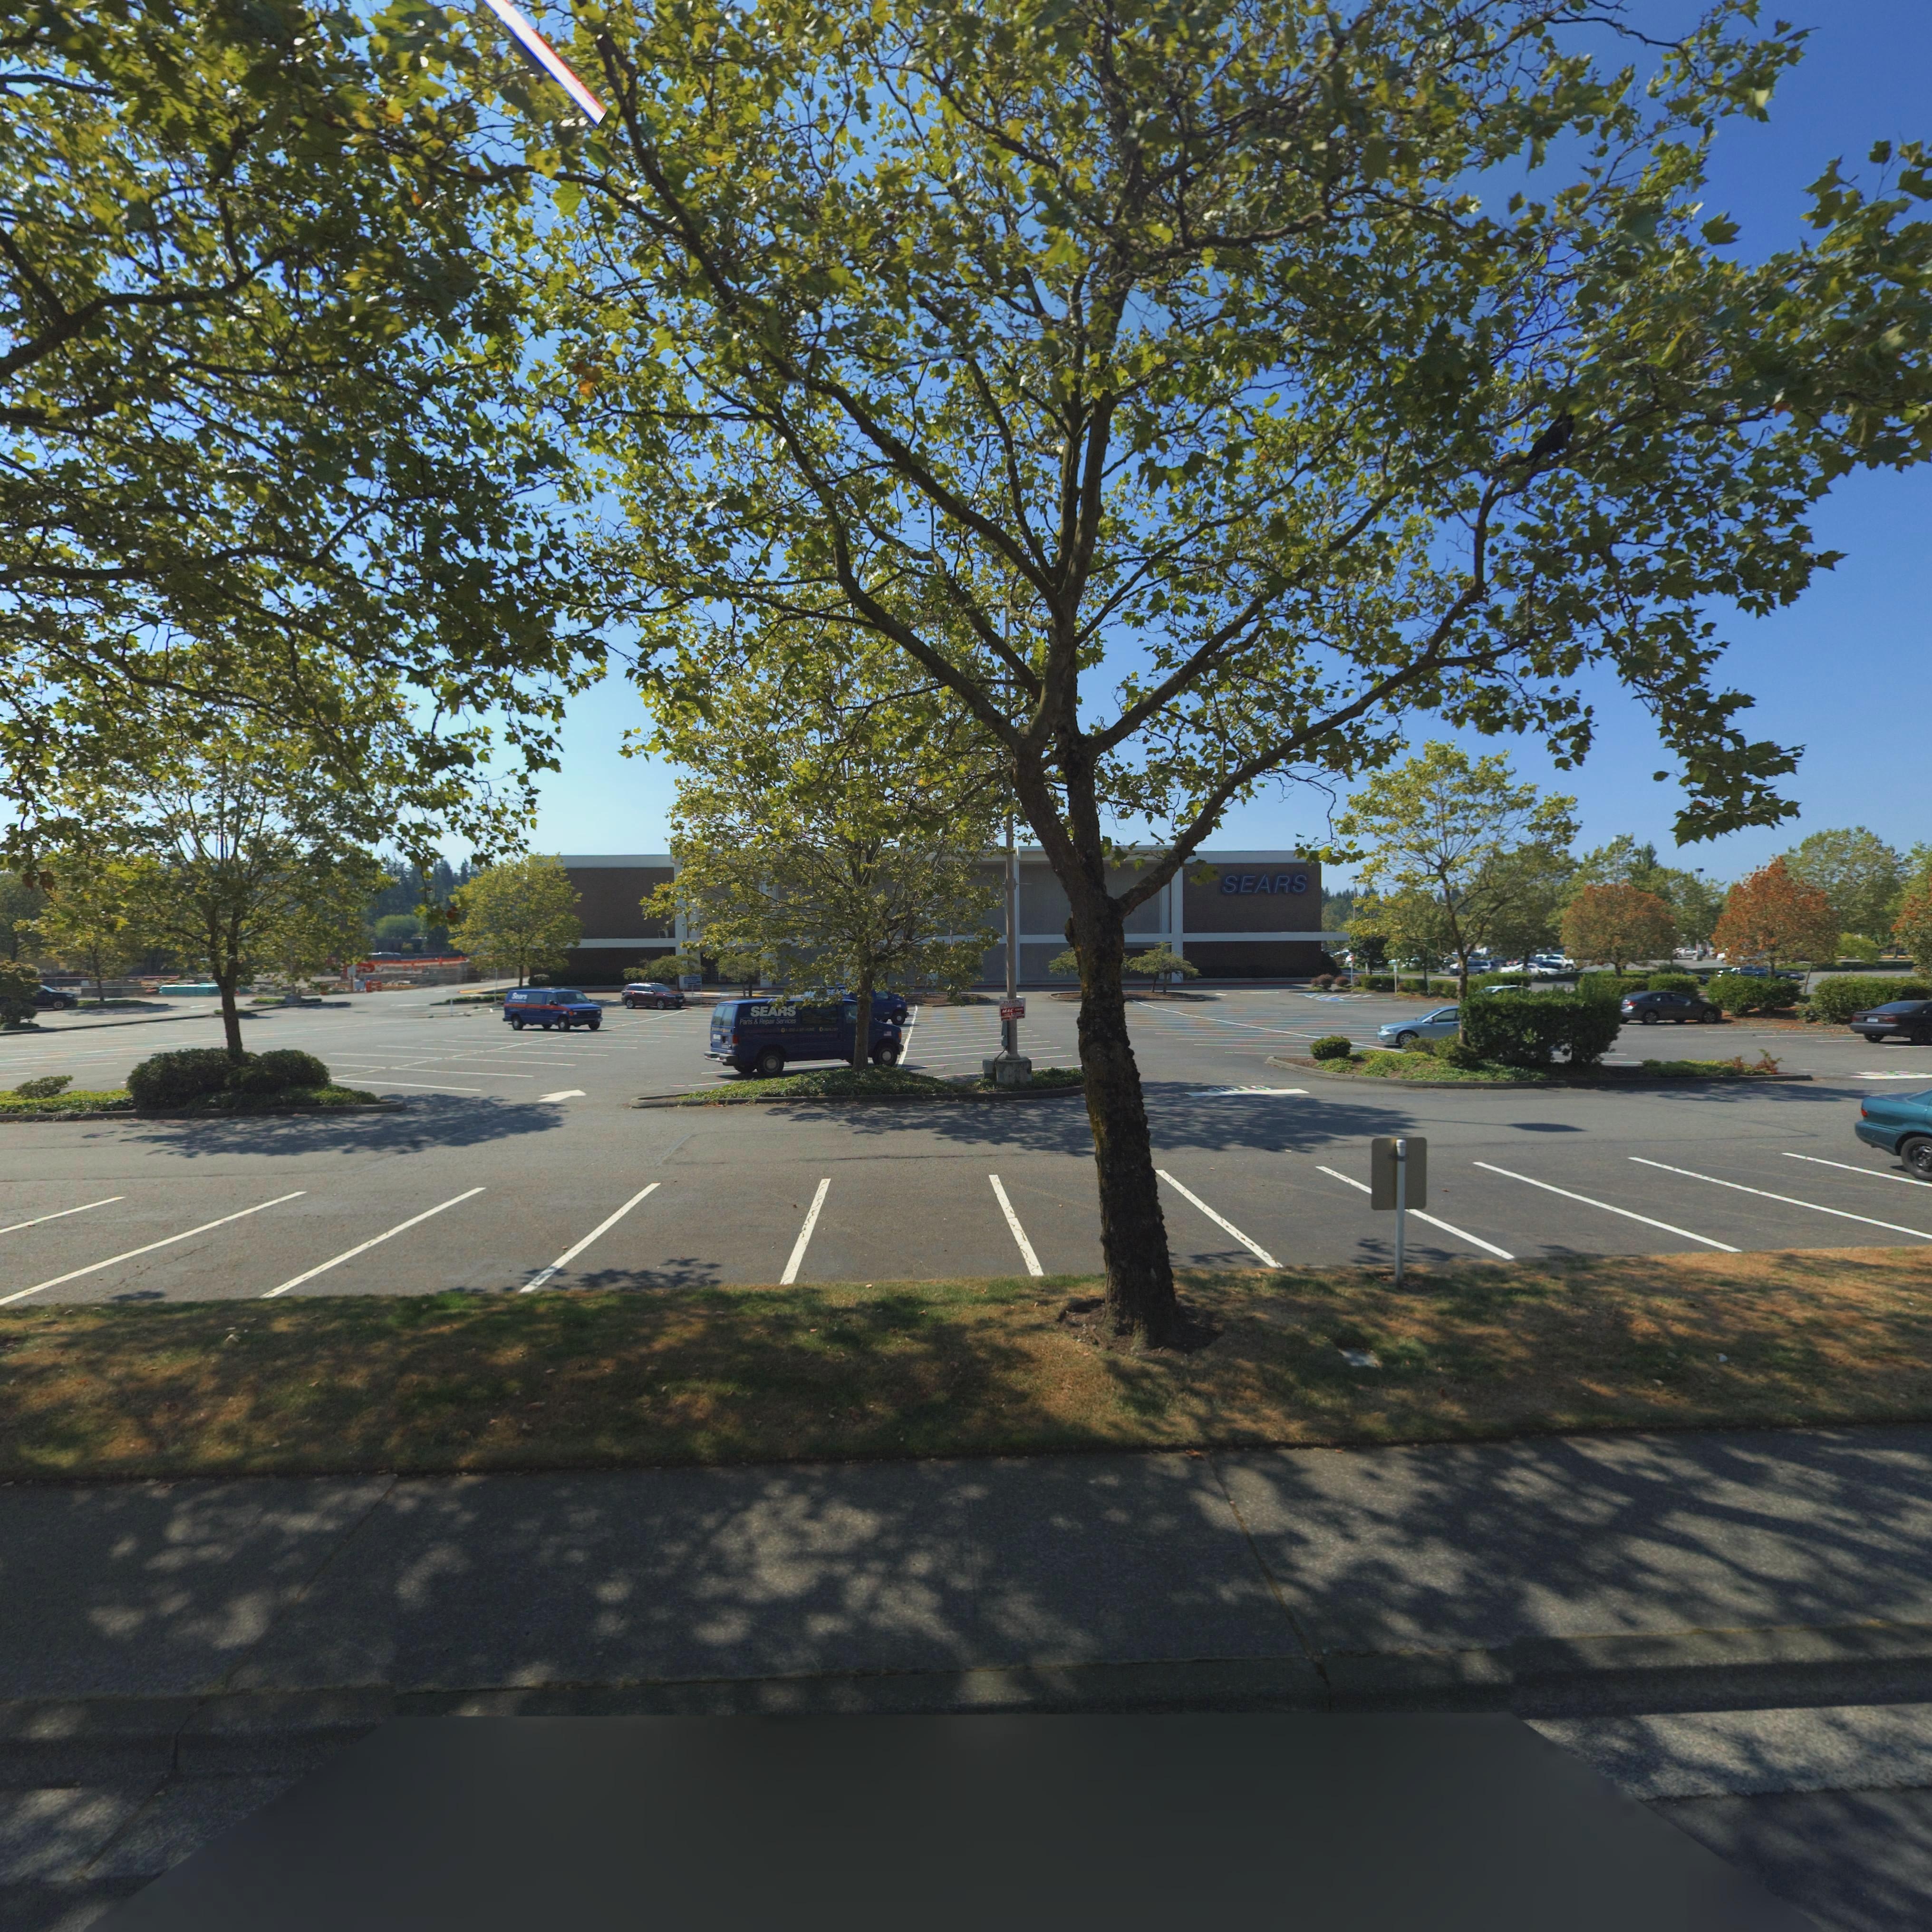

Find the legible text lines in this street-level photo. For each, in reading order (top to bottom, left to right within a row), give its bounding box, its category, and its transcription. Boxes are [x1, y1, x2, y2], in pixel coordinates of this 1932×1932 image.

[1219, 874, 1307, 894] BusinessName: SEARS